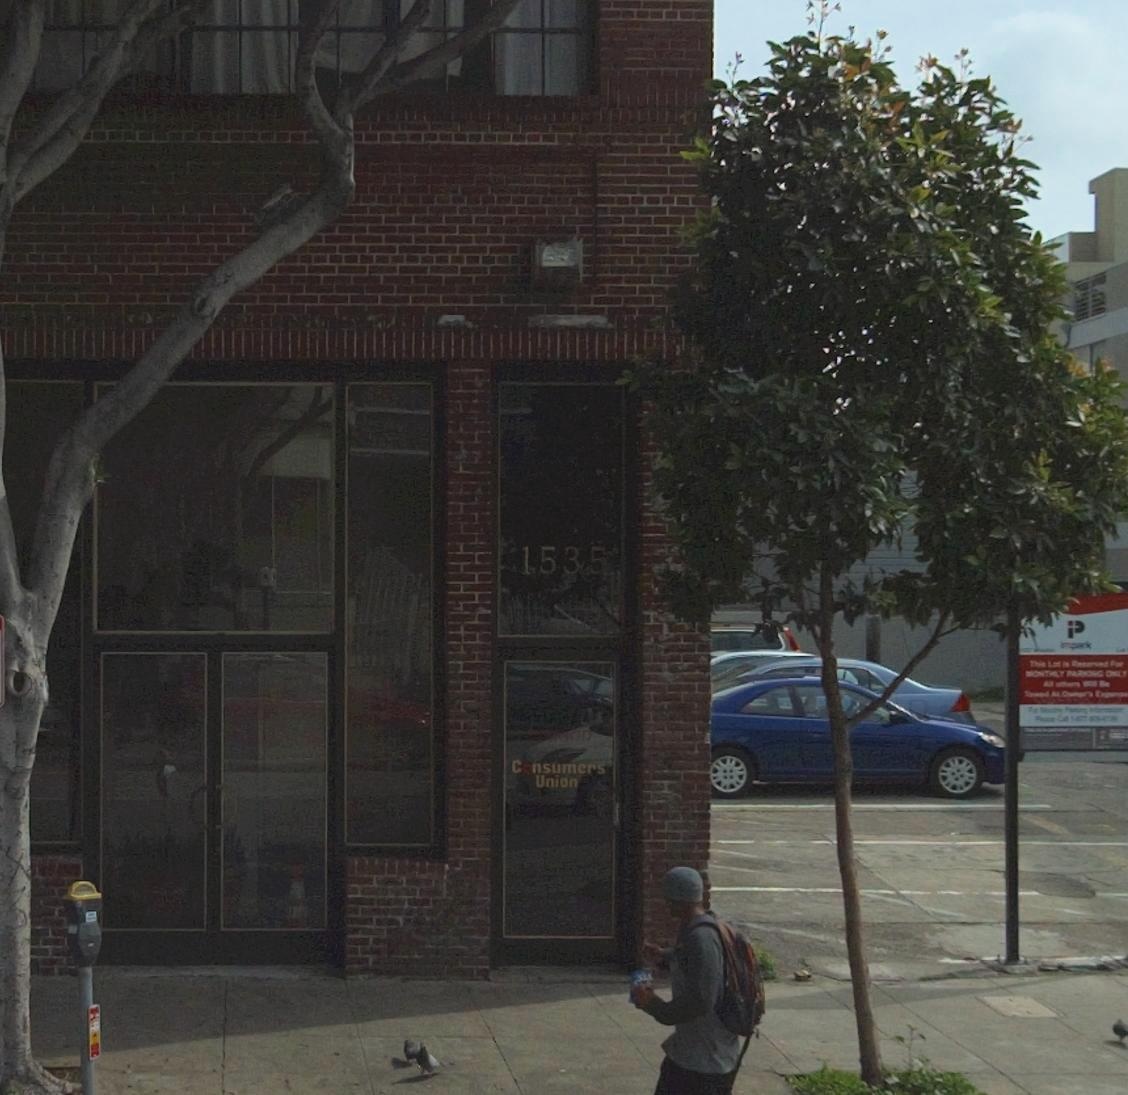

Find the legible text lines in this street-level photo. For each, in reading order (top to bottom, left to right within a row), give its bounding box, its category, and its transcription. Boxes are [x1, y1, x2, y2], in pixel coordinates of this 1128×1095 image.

[521, 545, 607, 575] StreetNumber: 1535
[1067, 620, 1086, 639] None: P
[1030, 659, 1125, 668] None: This Lot is Reserved For
[1025, 670, 1127, 678] None: MONTHLY PARKING ONLY
[1032, 714, 1088, 722] None: Please Call 1-877
[511, 759, 606, 774] BusinessName: Consumers
[536, 775, 578, 788] BusinessName: Union